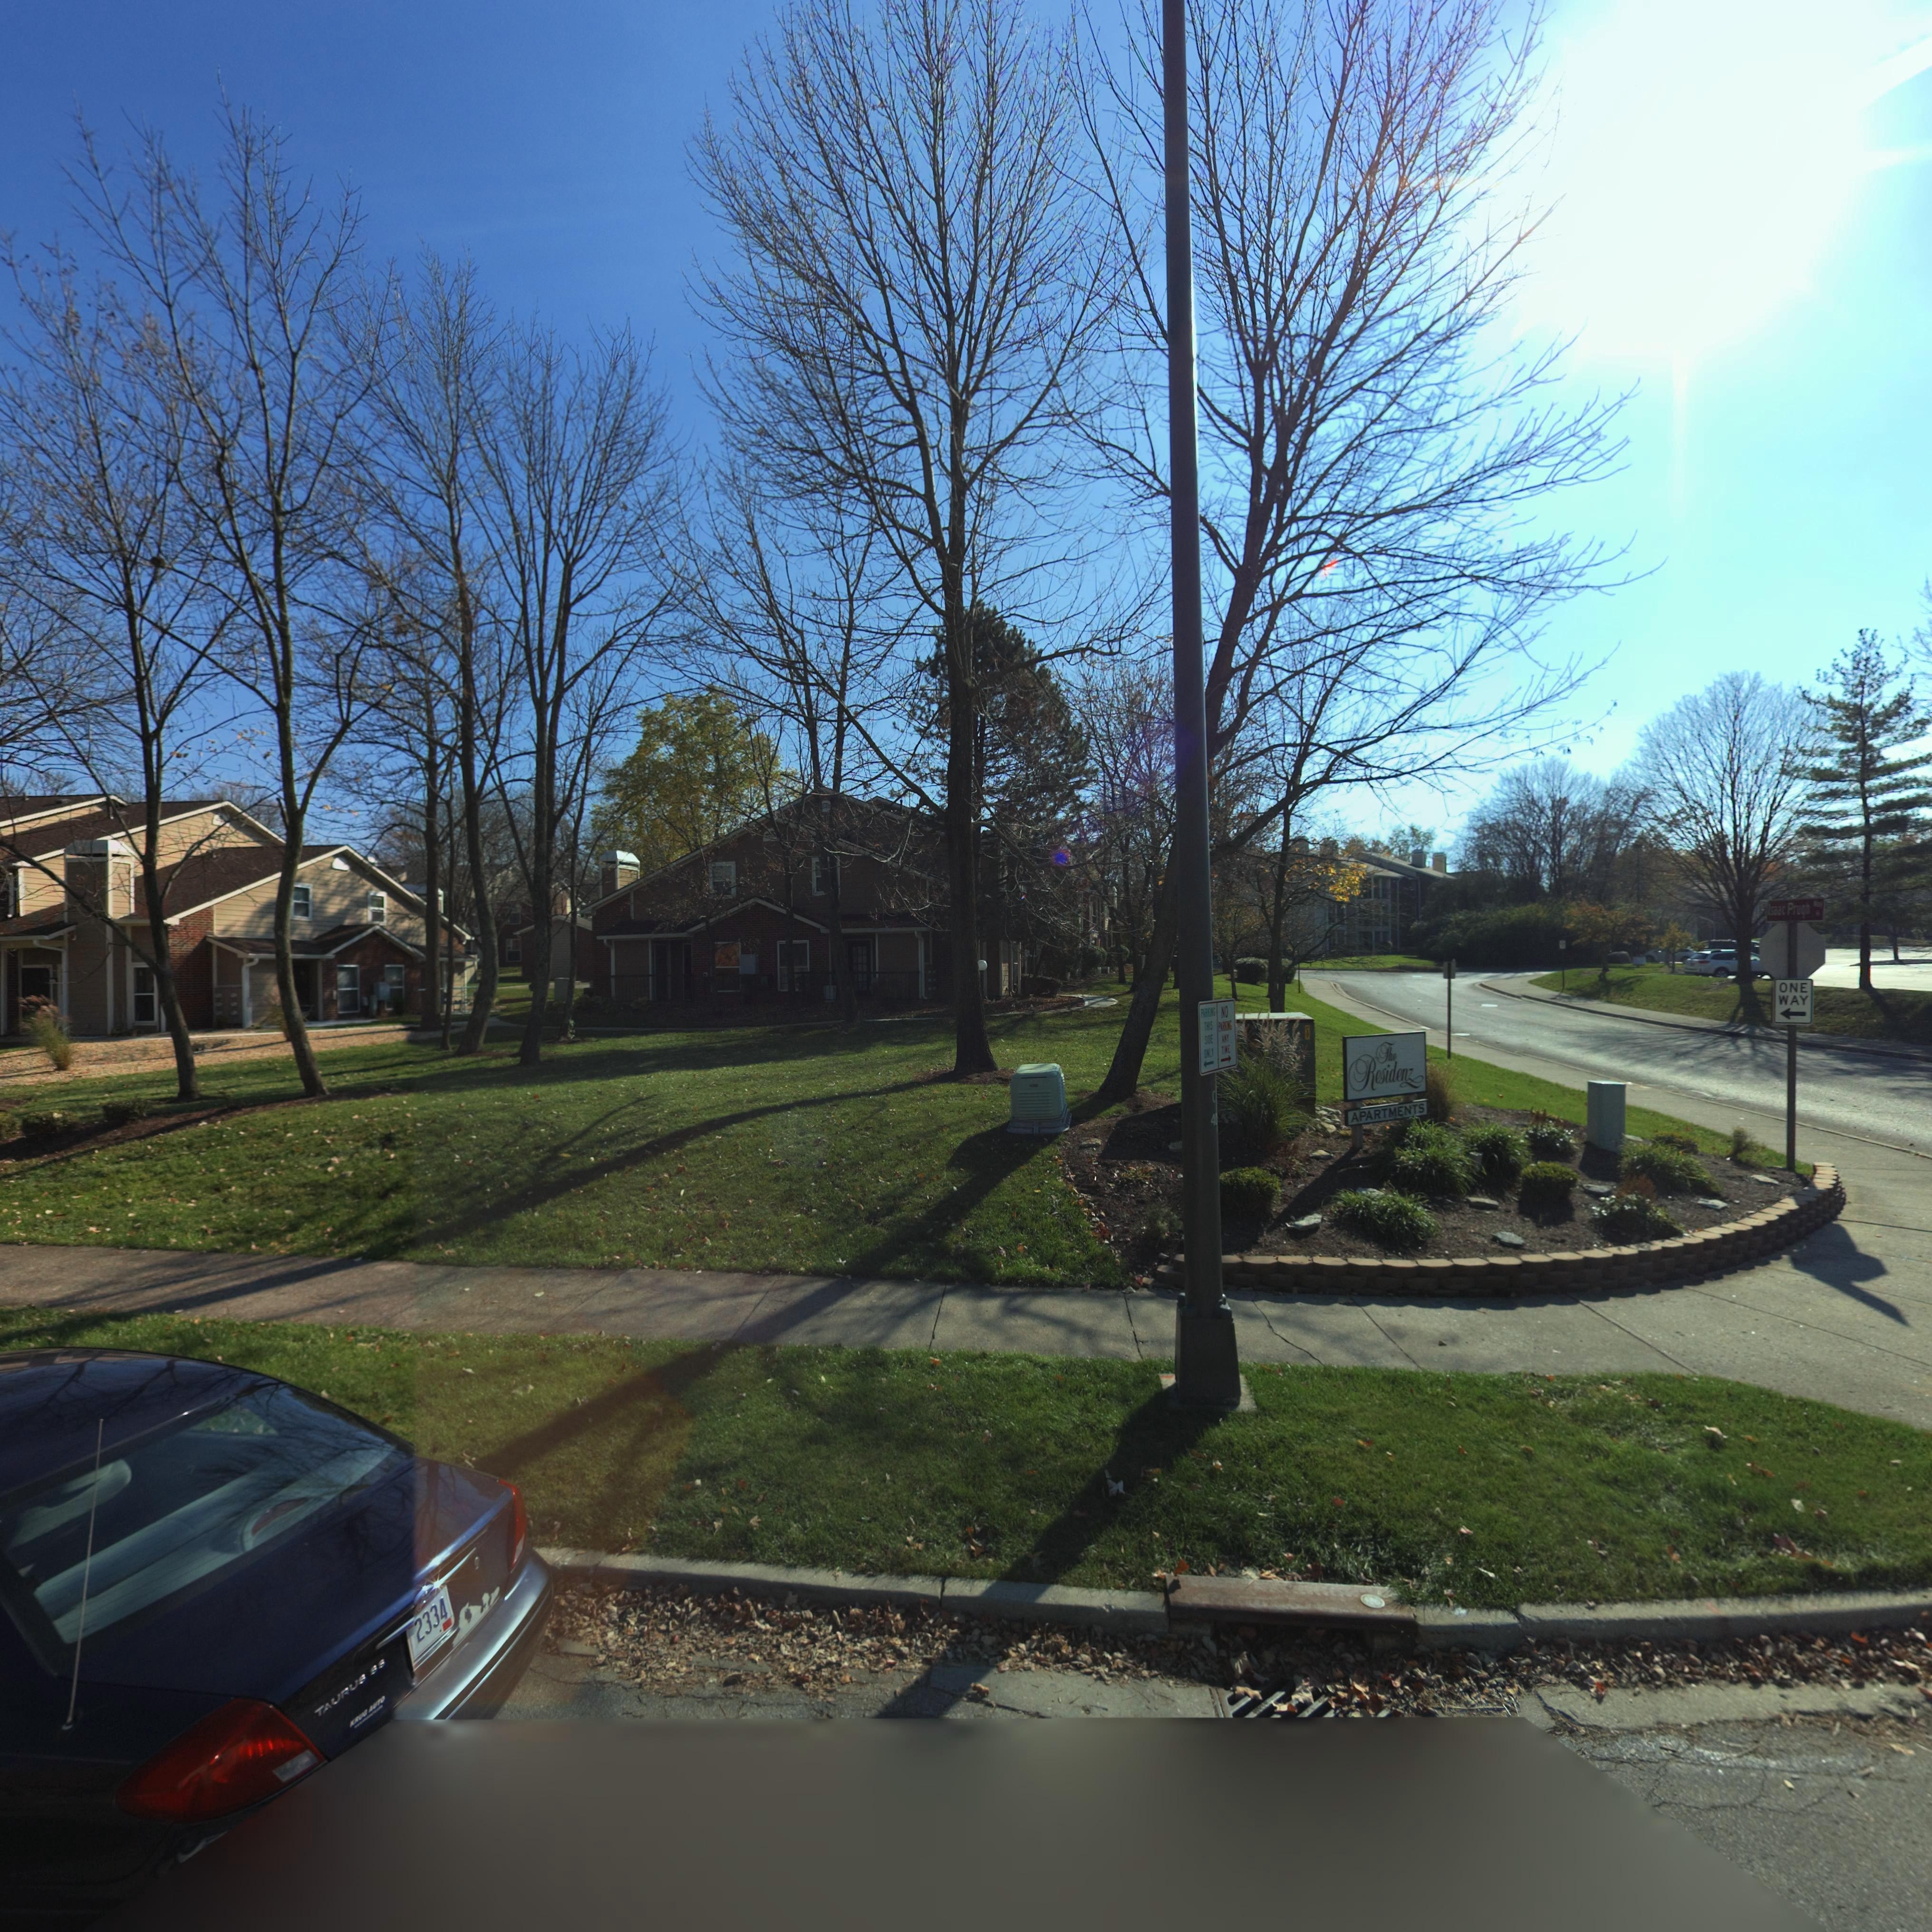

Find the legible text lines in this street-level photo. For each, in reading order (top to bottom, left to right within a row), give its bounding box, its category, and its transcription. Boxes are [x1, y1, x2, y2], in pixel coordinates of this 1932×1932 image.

[1767, 899, 1824, 920] StreetName: Isaac Prugh Way
[1779, 981, 1807, 993] None: ONE
[1777, 994, 1807, 1005] None: WAY
[1200, 1007, 1216, 1019] None: PARKING
[1221, 1005, 1229, 1019] None: NO
[1203, 1021, 1214, 1031] None: THIS
[1217, 1020, 1233, 1033] None: PARKING
[1204, 1034, 1213, 1044] None: SIDE
[1221, 1034, 1229, 1043] None: ANY
[1203, 1047, 1215, 1059] None: ONLY
[1221, 1044, 1231, 1056] None: TIME
[1375, 1041, 1397, 1063] BusinessName: The
[1346, 1053, 1425, 1092] BusinessName: Residenz
[1349, 1102, 1426, 1124] None: APARTMENTS
[413, 1594, 449, 1645] None: 2334
[312, 1654, 387, 1719] None: TAURUS SS
[349, 1693, 387, 1730] None: KRUG AUTO